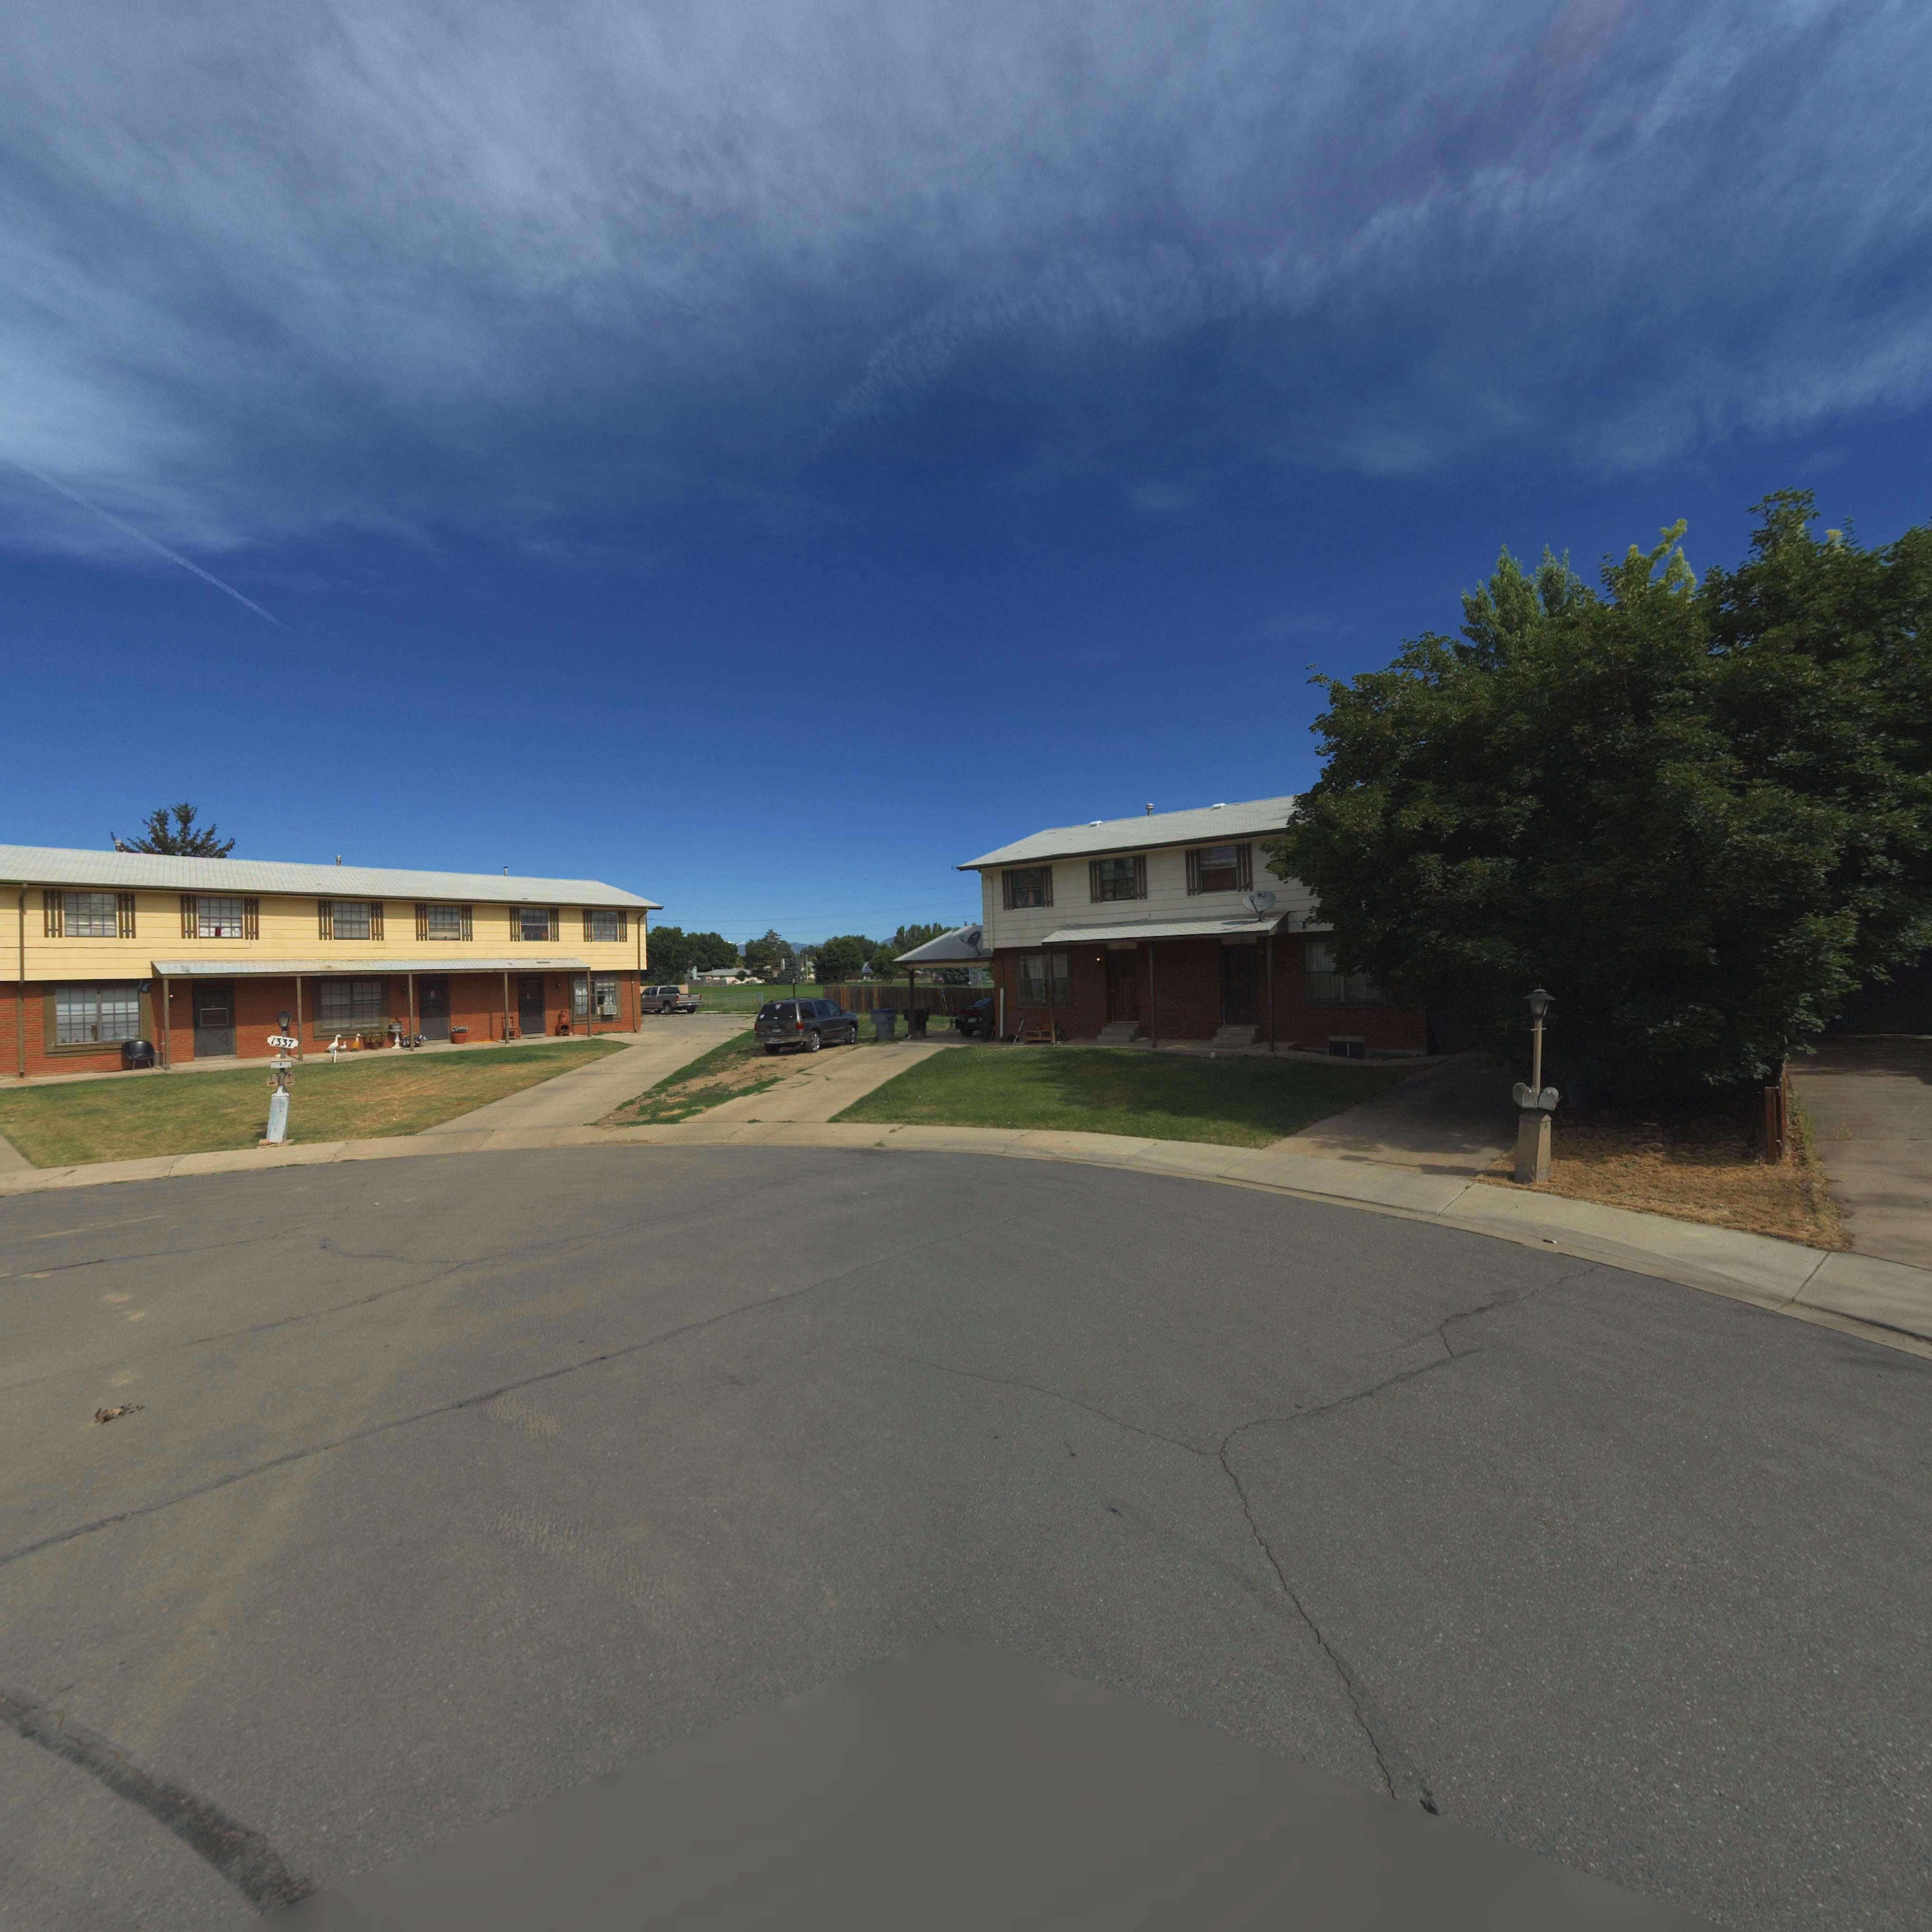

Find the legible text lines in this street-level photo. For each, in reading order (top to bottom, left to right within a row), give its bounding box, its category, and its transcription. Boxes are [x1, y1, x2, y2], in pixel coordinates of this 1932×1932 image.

[1233, 938, 1246, 943] StreetNumber: 13**
[270, 1037, 294, 1047] StreetNumber: 1337